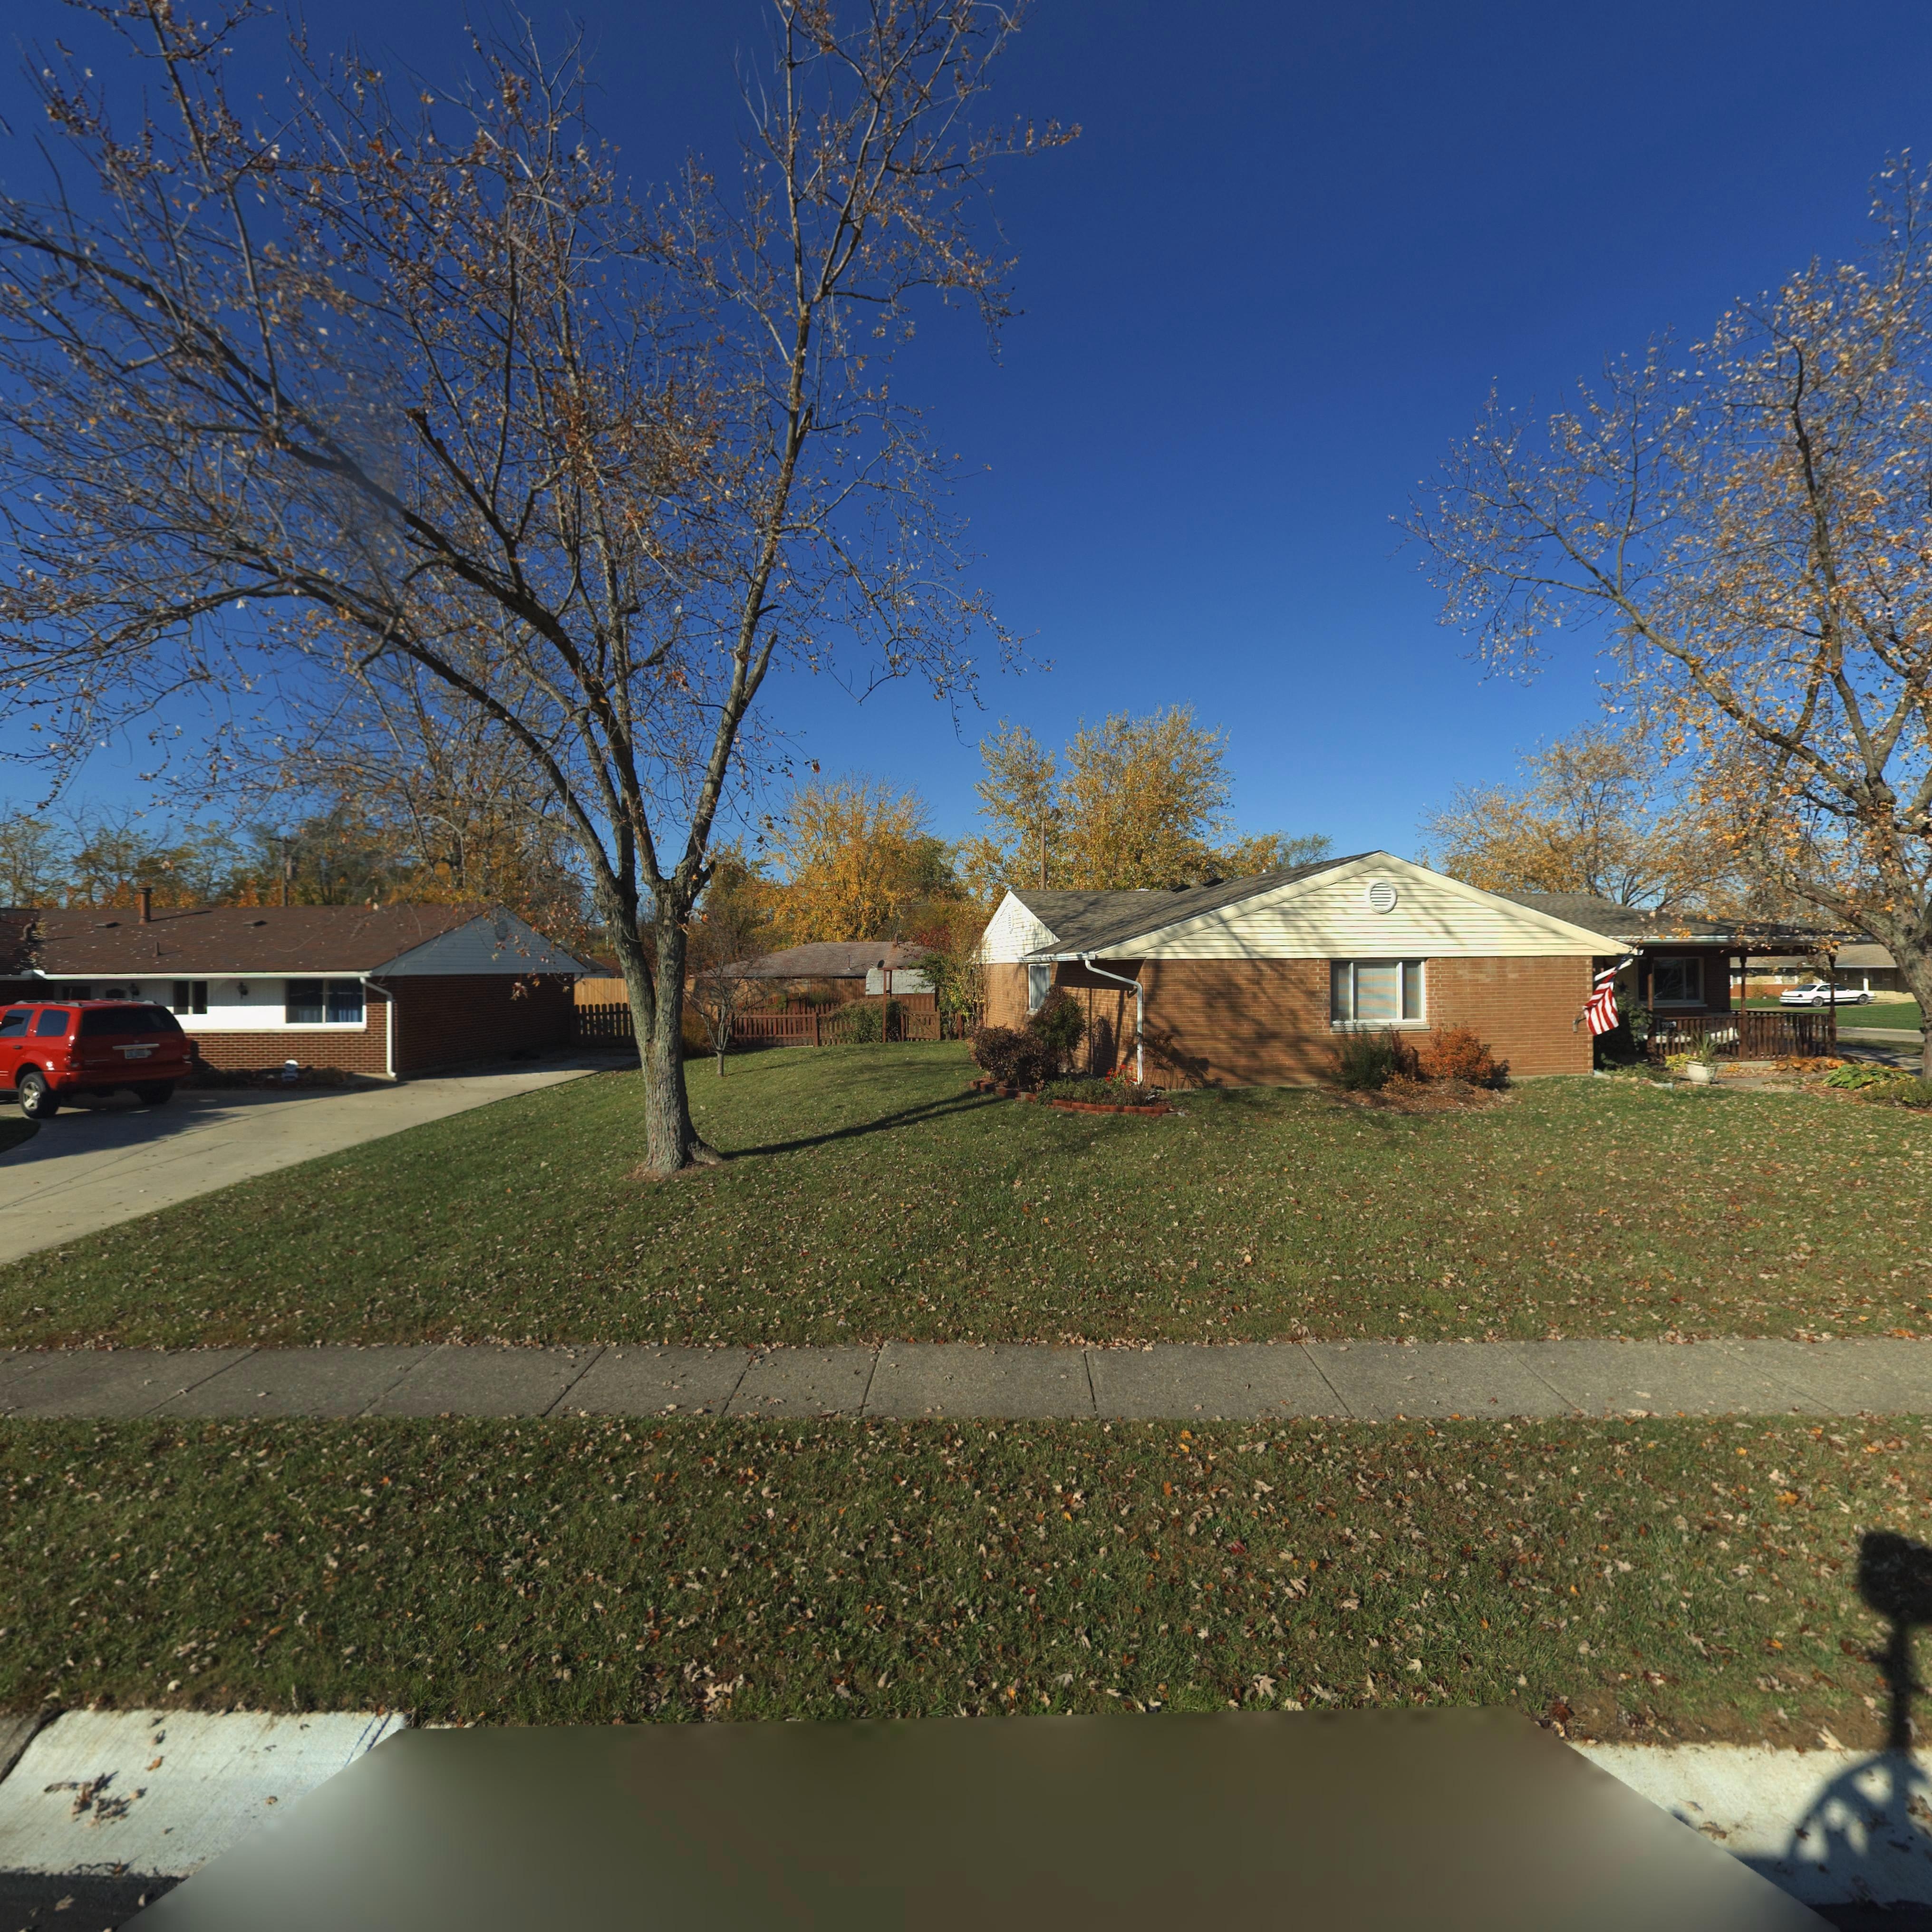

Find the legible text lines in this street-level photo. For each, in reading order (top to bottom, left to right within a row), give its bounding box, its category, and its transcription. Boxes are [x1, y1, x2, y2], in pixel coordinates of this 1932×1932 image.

[1661, 1021, 1678, 1028] StreetNumber: 79**